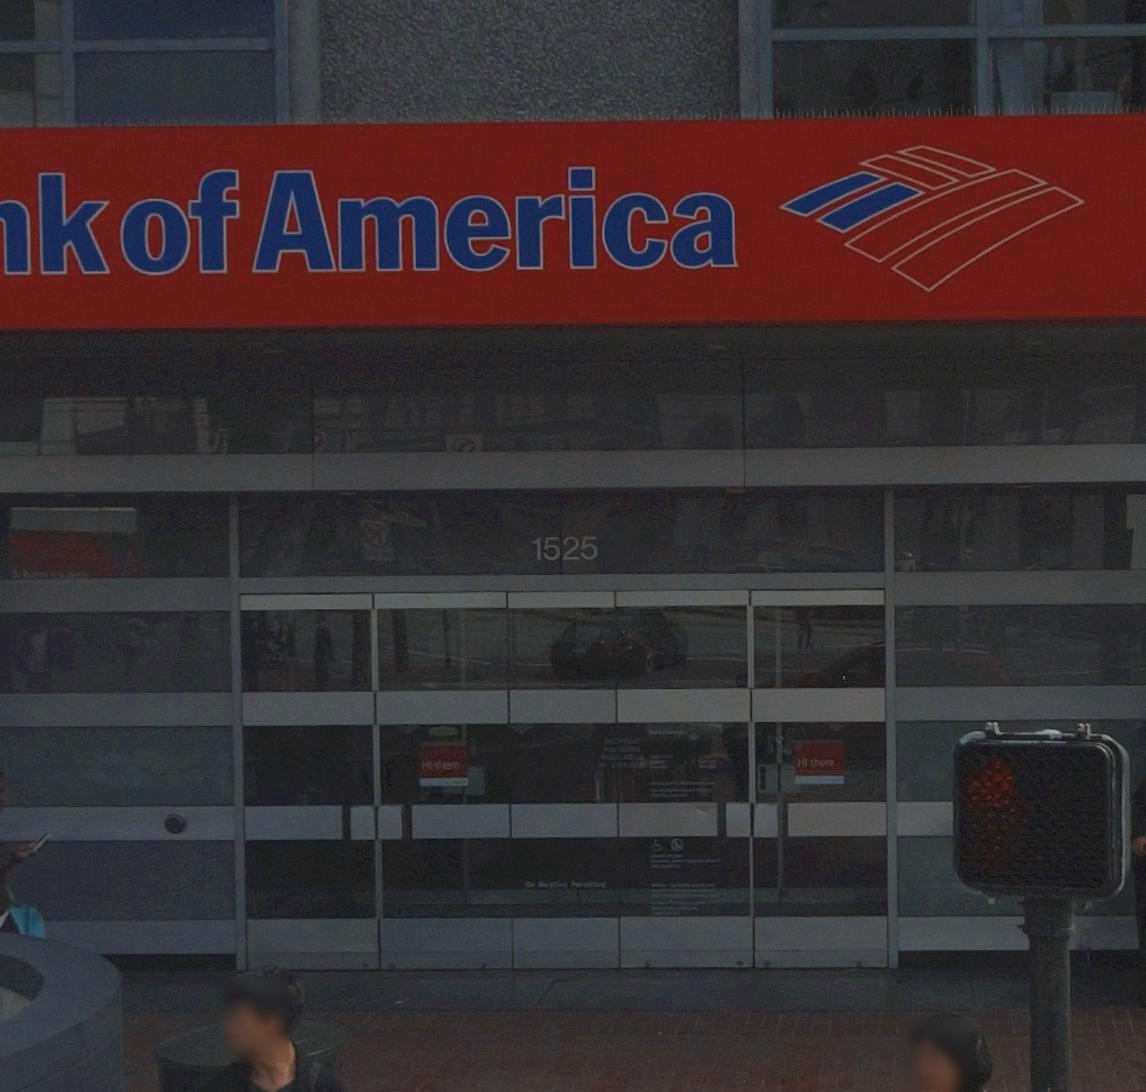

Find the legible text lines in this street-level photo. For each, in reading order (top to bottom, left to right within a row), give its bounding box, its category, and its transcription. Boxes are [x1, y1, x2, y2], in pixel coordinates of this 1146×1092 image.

[37, 167, 739, 274] BusinessName: k of America
[531, 533, 600, 563] StreetNumber: 1525
[601, 736, 642, 745] None: BICYCLE
[601, 745, 642, 754] None: PARKING
[598, 753, 645, 762] None: AVAILABLE
[597, 761, 648, 770] None: IN GARAGE
[797, 756, 836, 768] None: Hi there